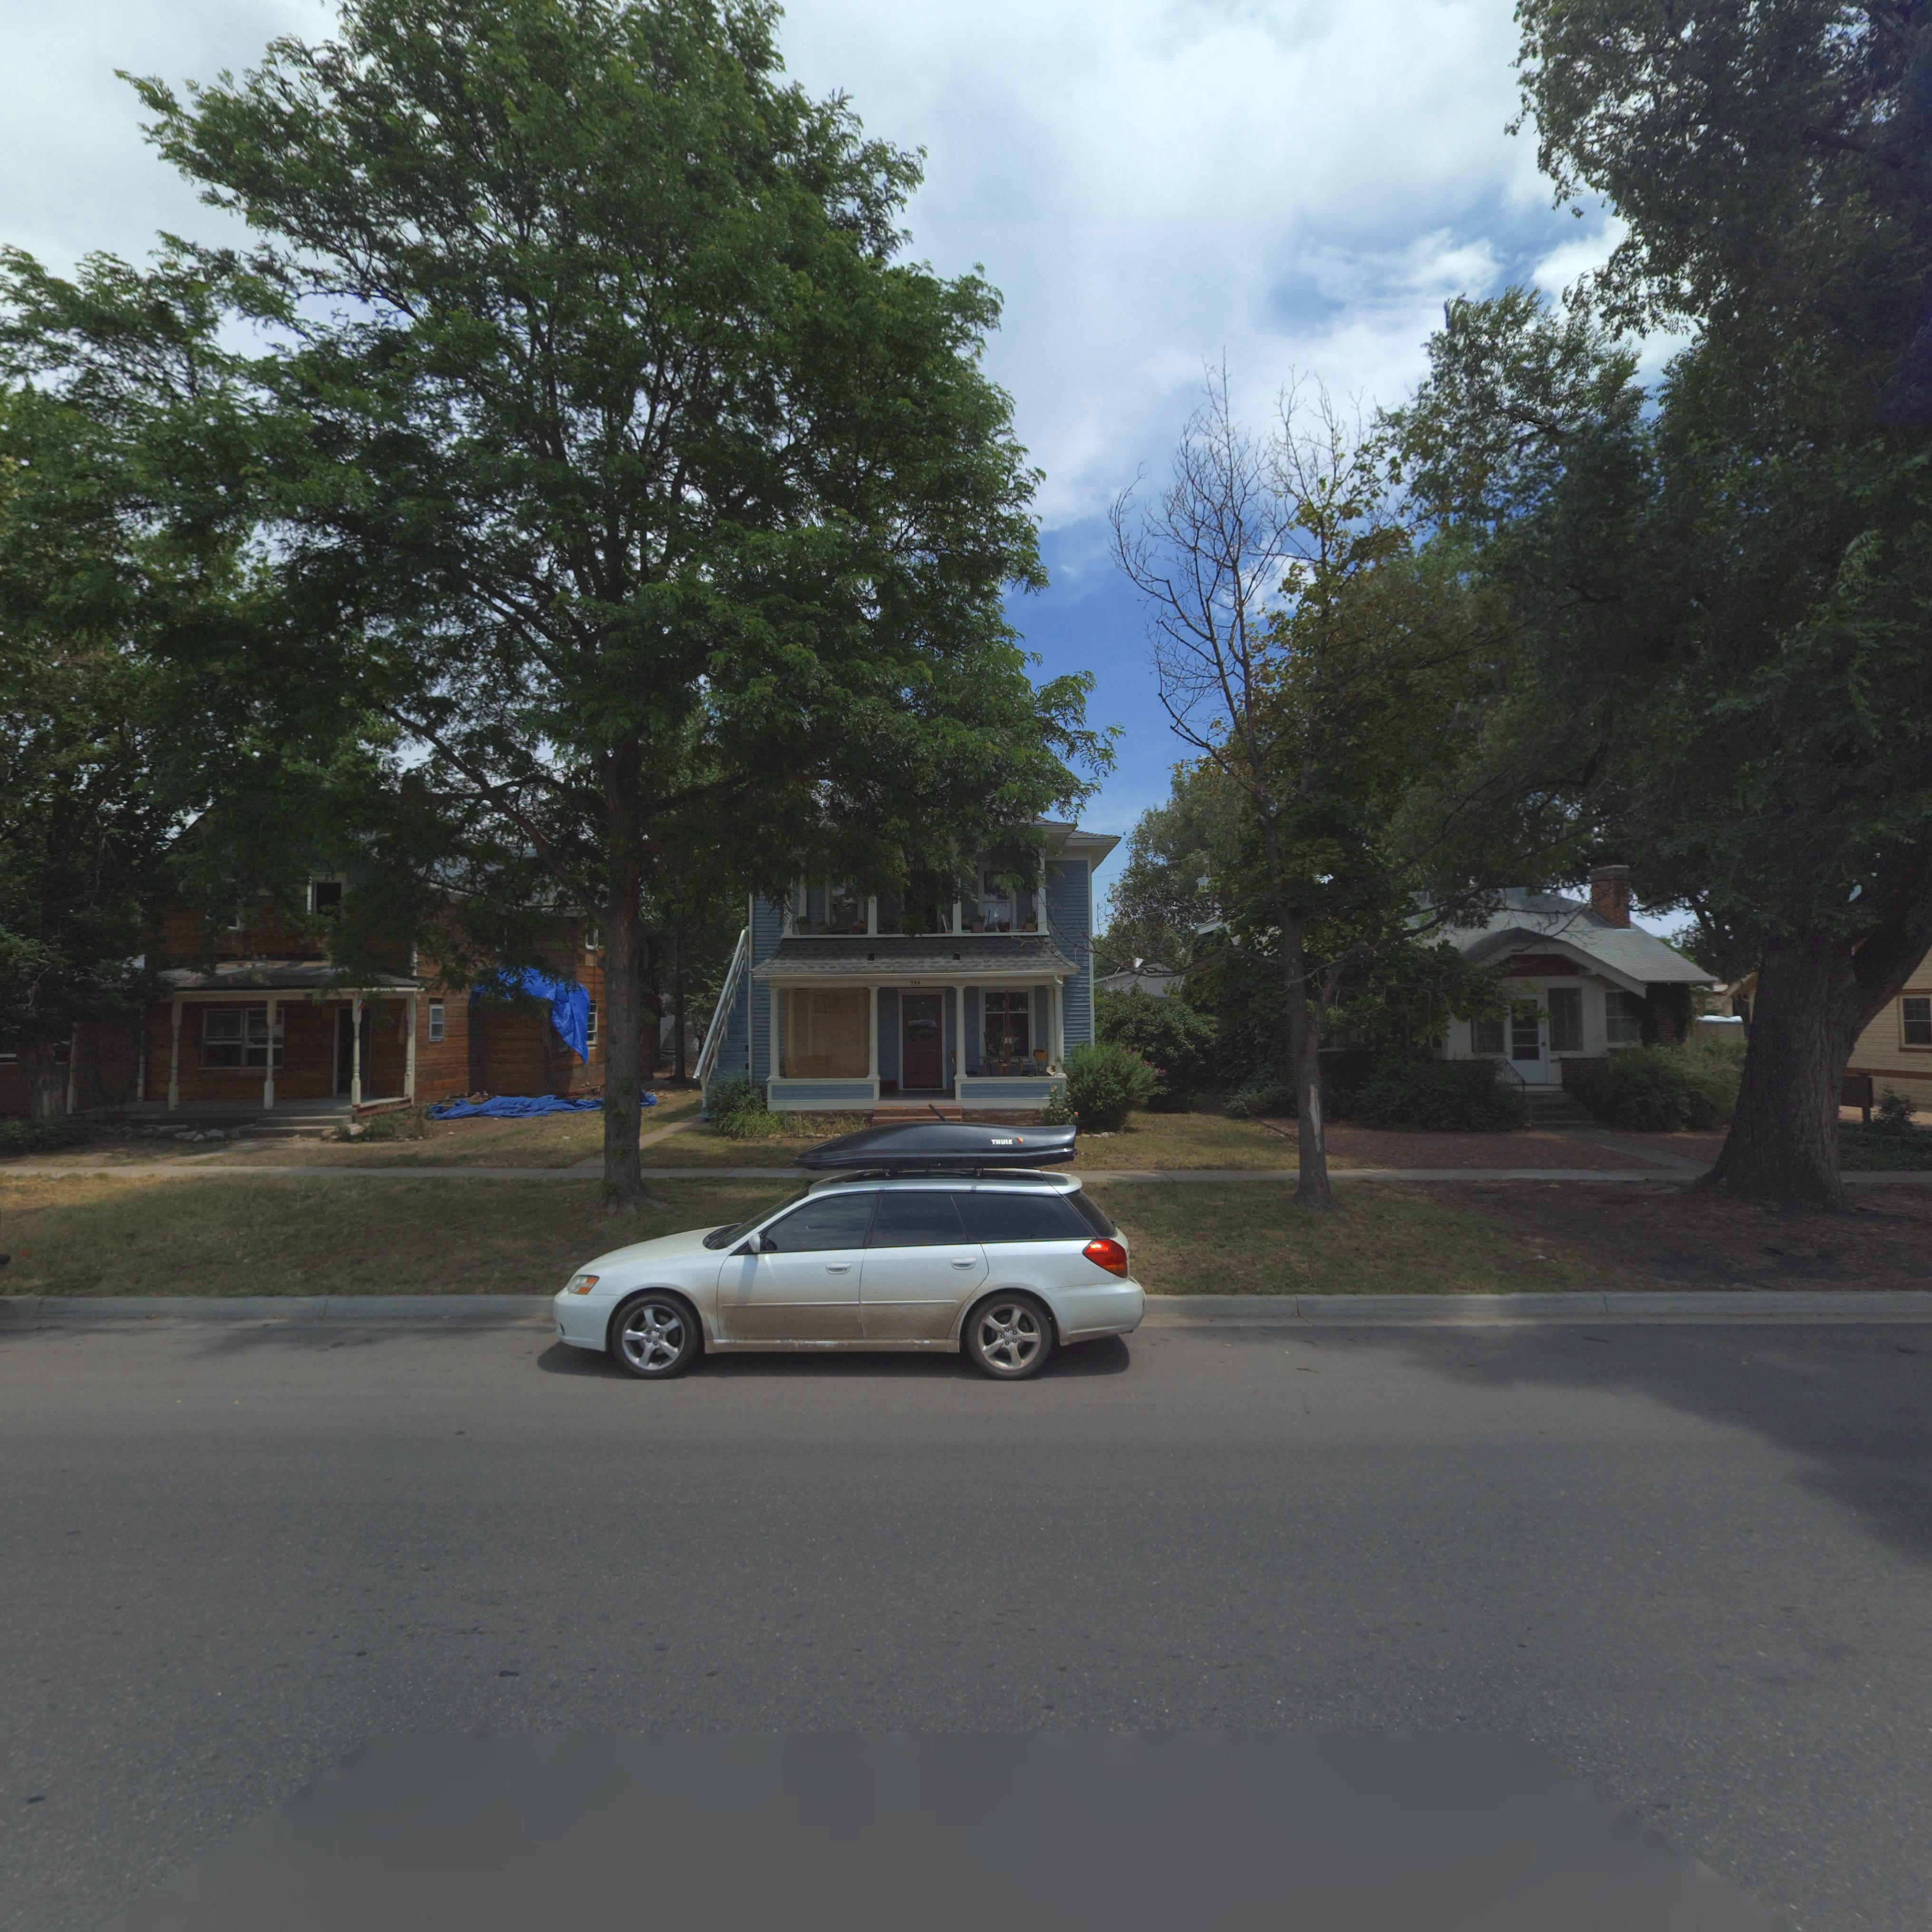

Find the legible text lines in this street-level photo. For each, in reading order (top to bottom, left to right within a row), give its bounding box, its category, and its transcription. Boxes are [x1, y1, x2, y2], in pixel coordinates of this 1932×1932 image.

[910, 981, 920, 985] StreetNumber: 734